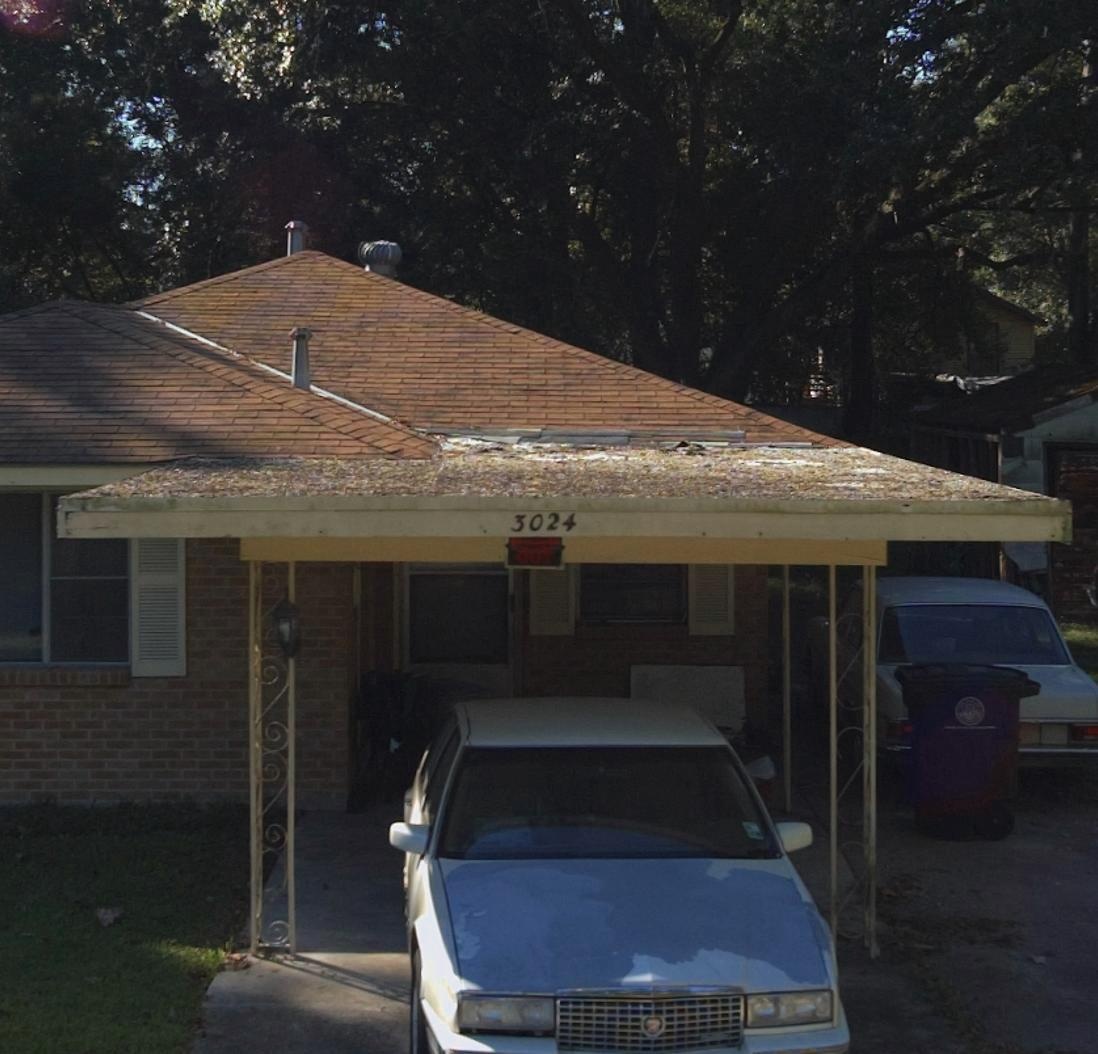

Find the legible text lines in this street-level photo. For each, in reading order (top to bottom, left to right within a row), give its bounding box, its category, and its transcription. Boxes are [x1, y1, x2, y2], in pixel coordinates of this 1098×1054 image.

[508, 509, 579, 534] StreetNumber: 3024
[512, 545, 558, 565] None: OUT